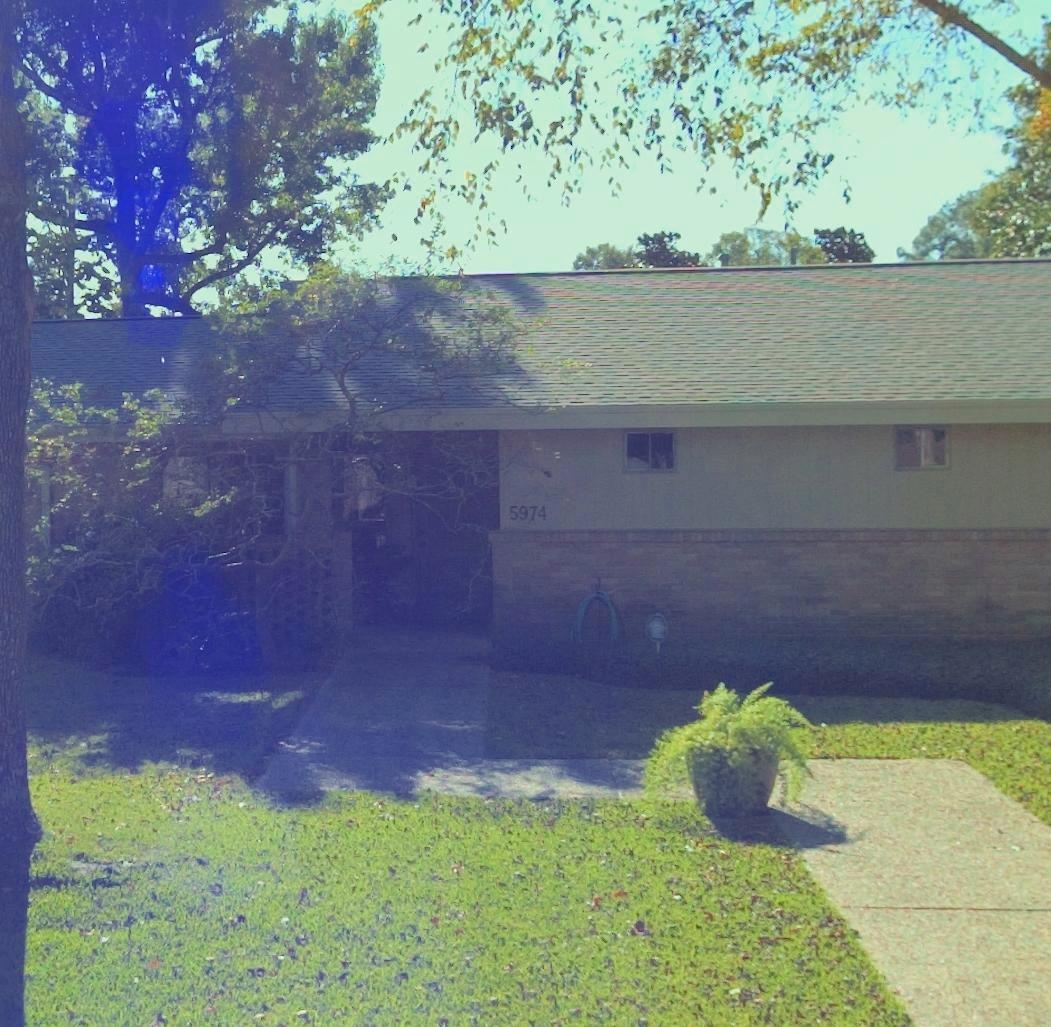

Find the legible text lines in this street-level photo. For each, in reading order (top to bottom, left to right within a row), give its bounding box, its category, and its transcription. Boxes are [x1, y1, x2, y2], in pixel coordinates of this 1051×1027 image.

[508, 502, 549, 524] StreetNumber: 5974